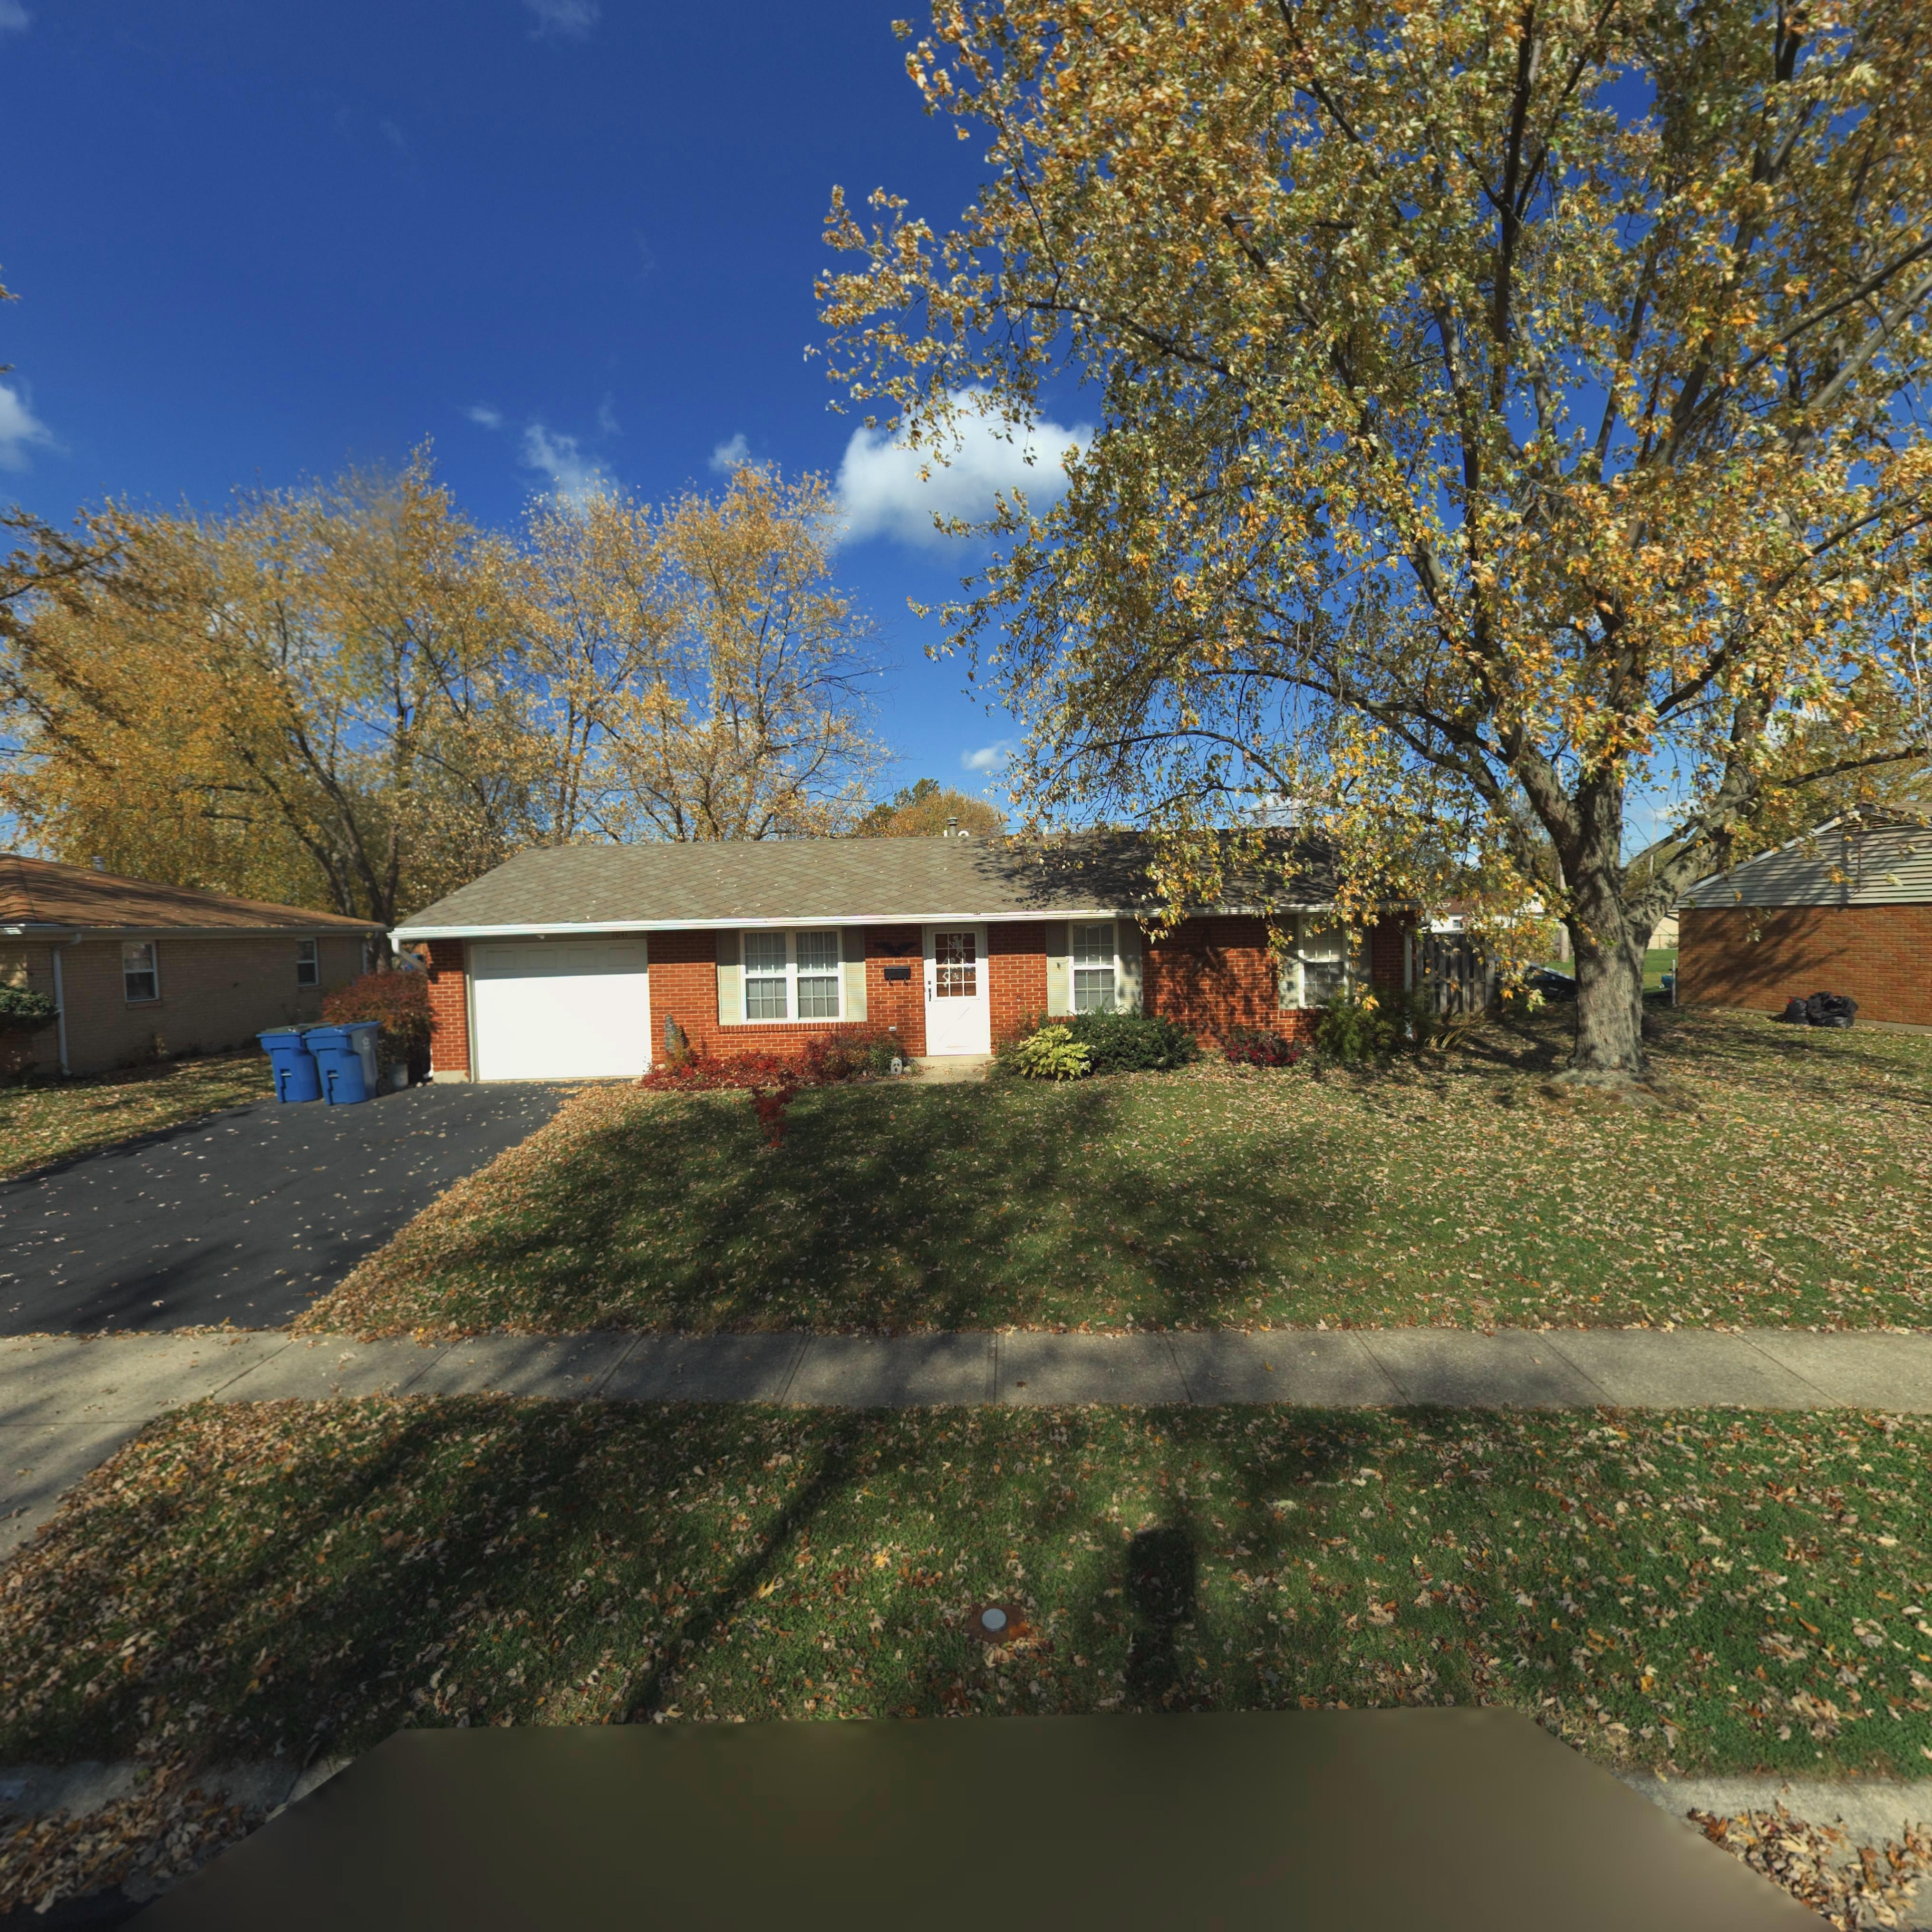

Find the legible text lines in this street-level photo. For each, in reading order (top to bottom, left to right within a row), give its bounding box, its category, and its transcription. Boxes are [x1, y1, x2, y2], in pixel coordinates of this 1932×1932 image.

[609, 930, 629, 939] StreetNumber: 7041